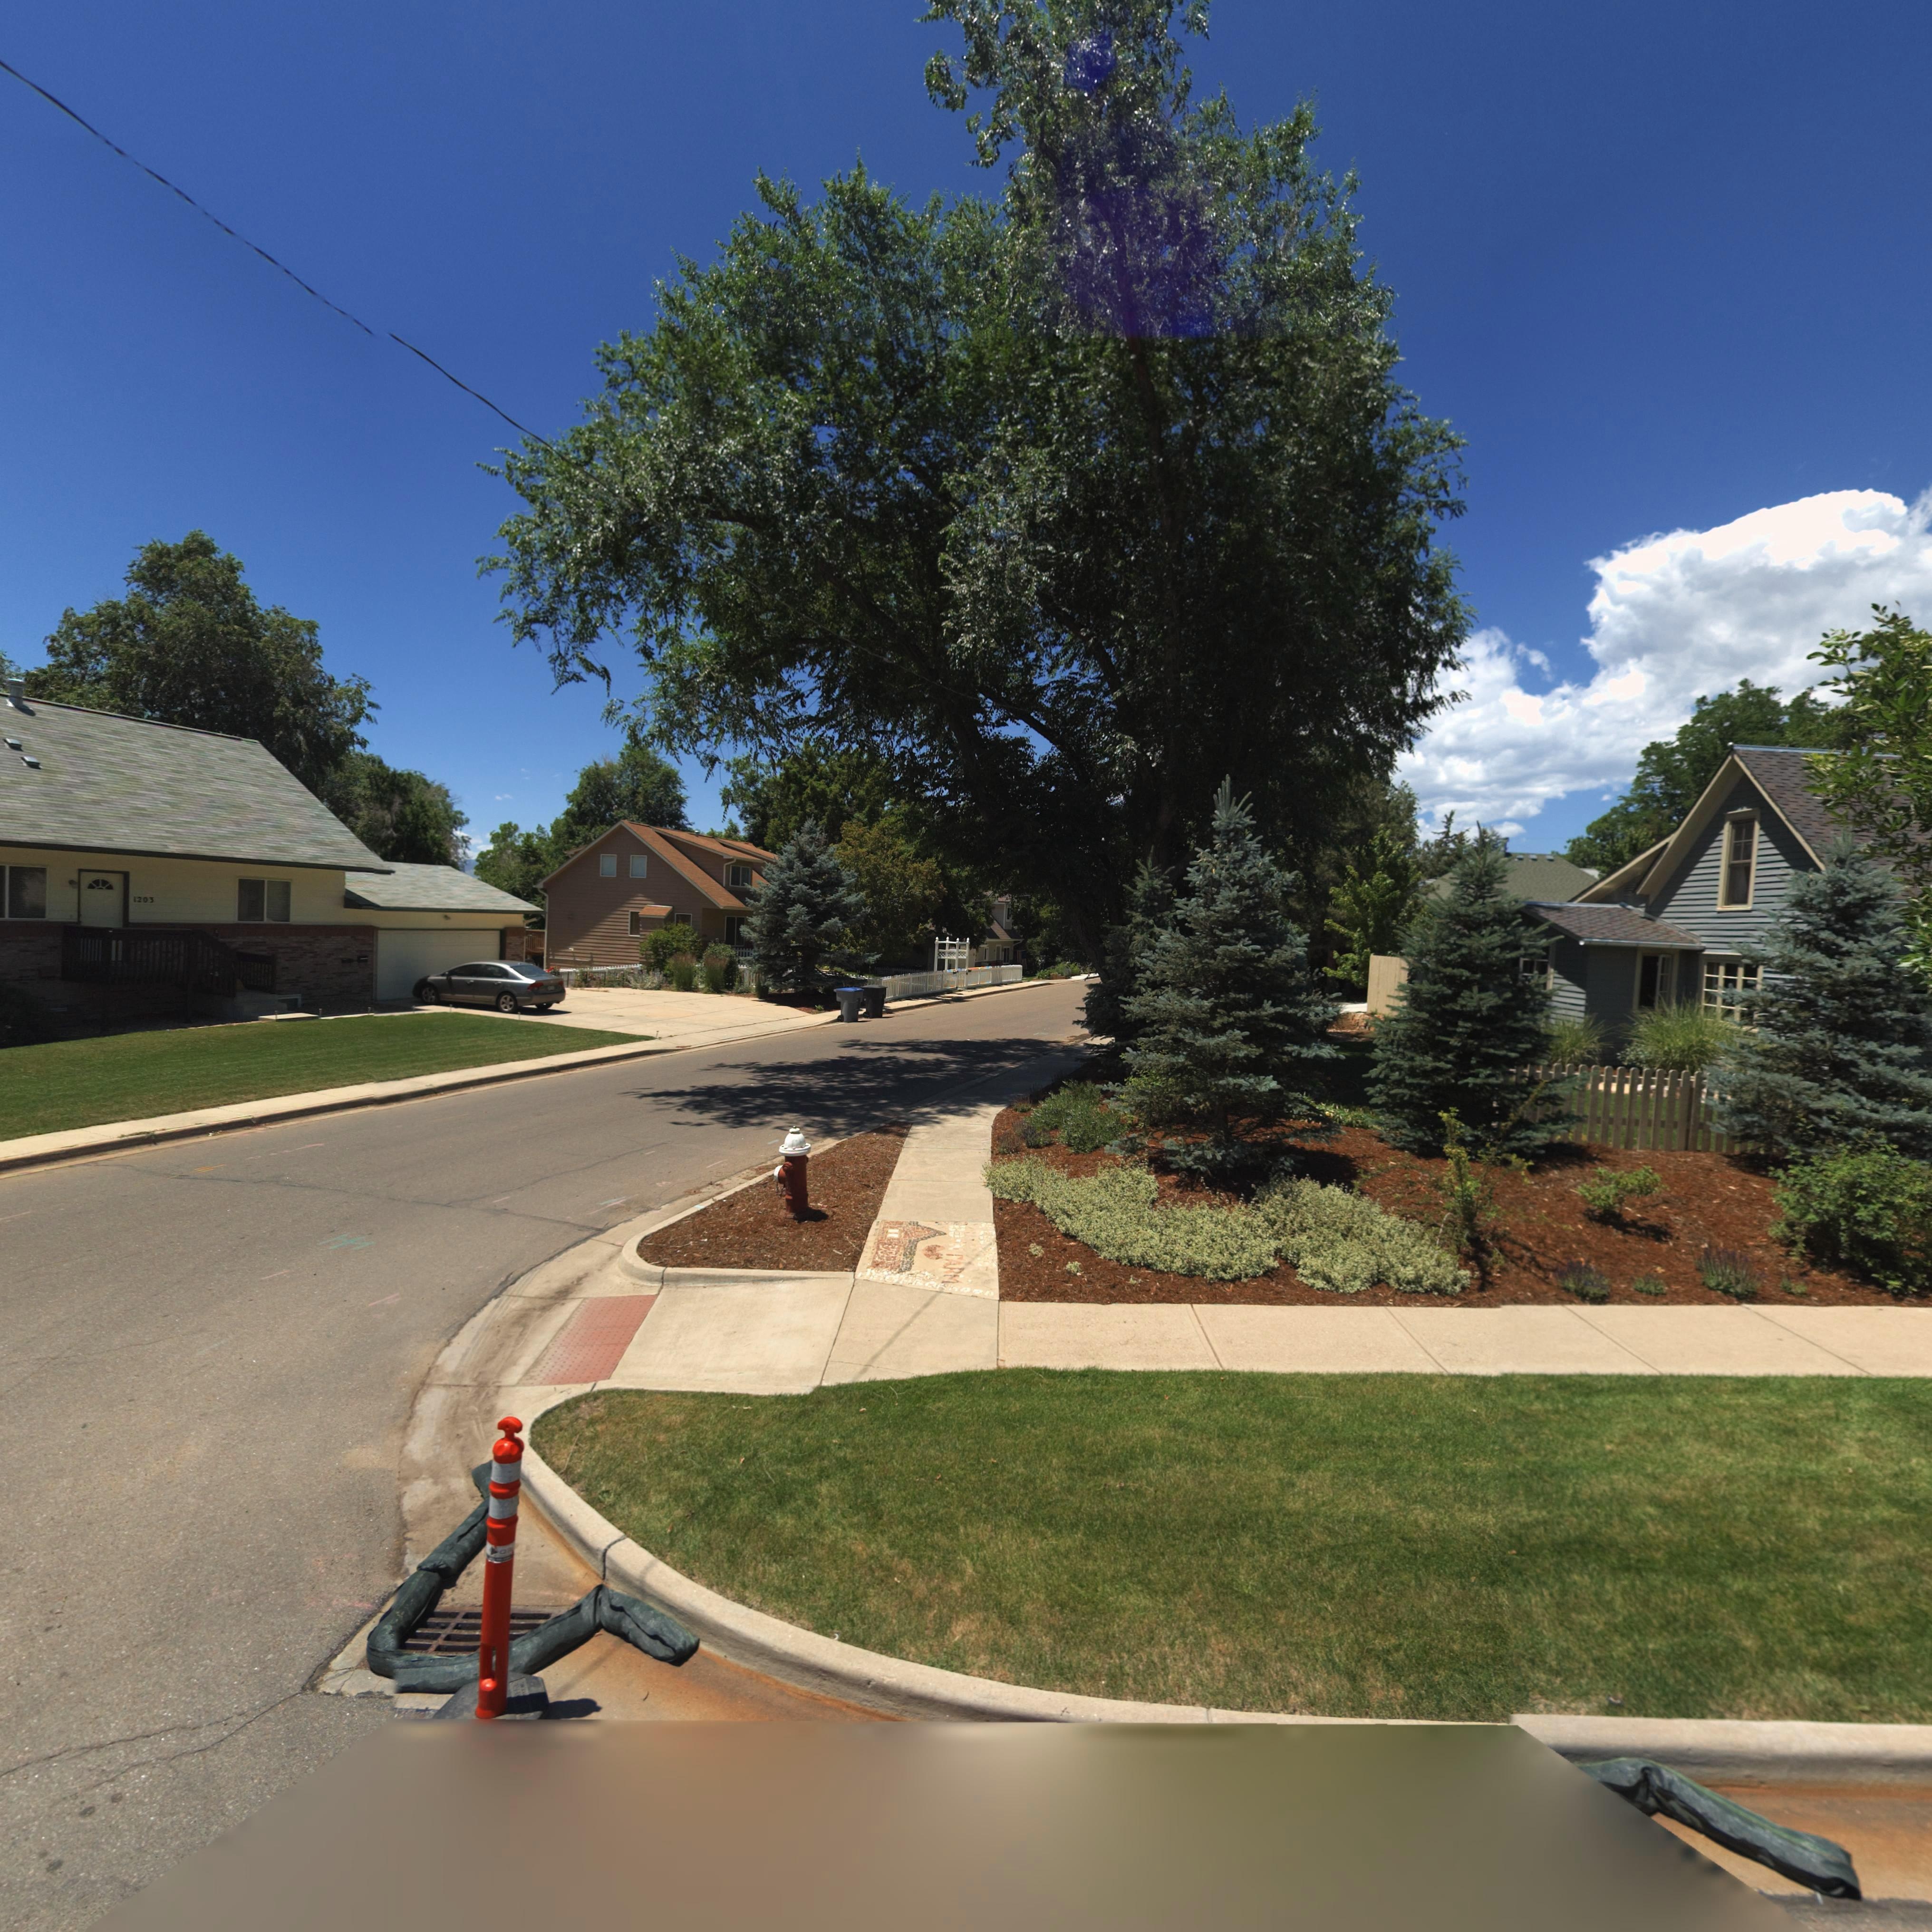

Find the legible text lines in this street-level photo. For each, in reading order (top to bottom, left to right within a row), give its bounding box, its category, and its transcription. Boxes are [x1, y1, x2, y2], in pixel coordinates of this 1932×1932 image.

[132, 895, 155, 903] StreetNumber: 1203